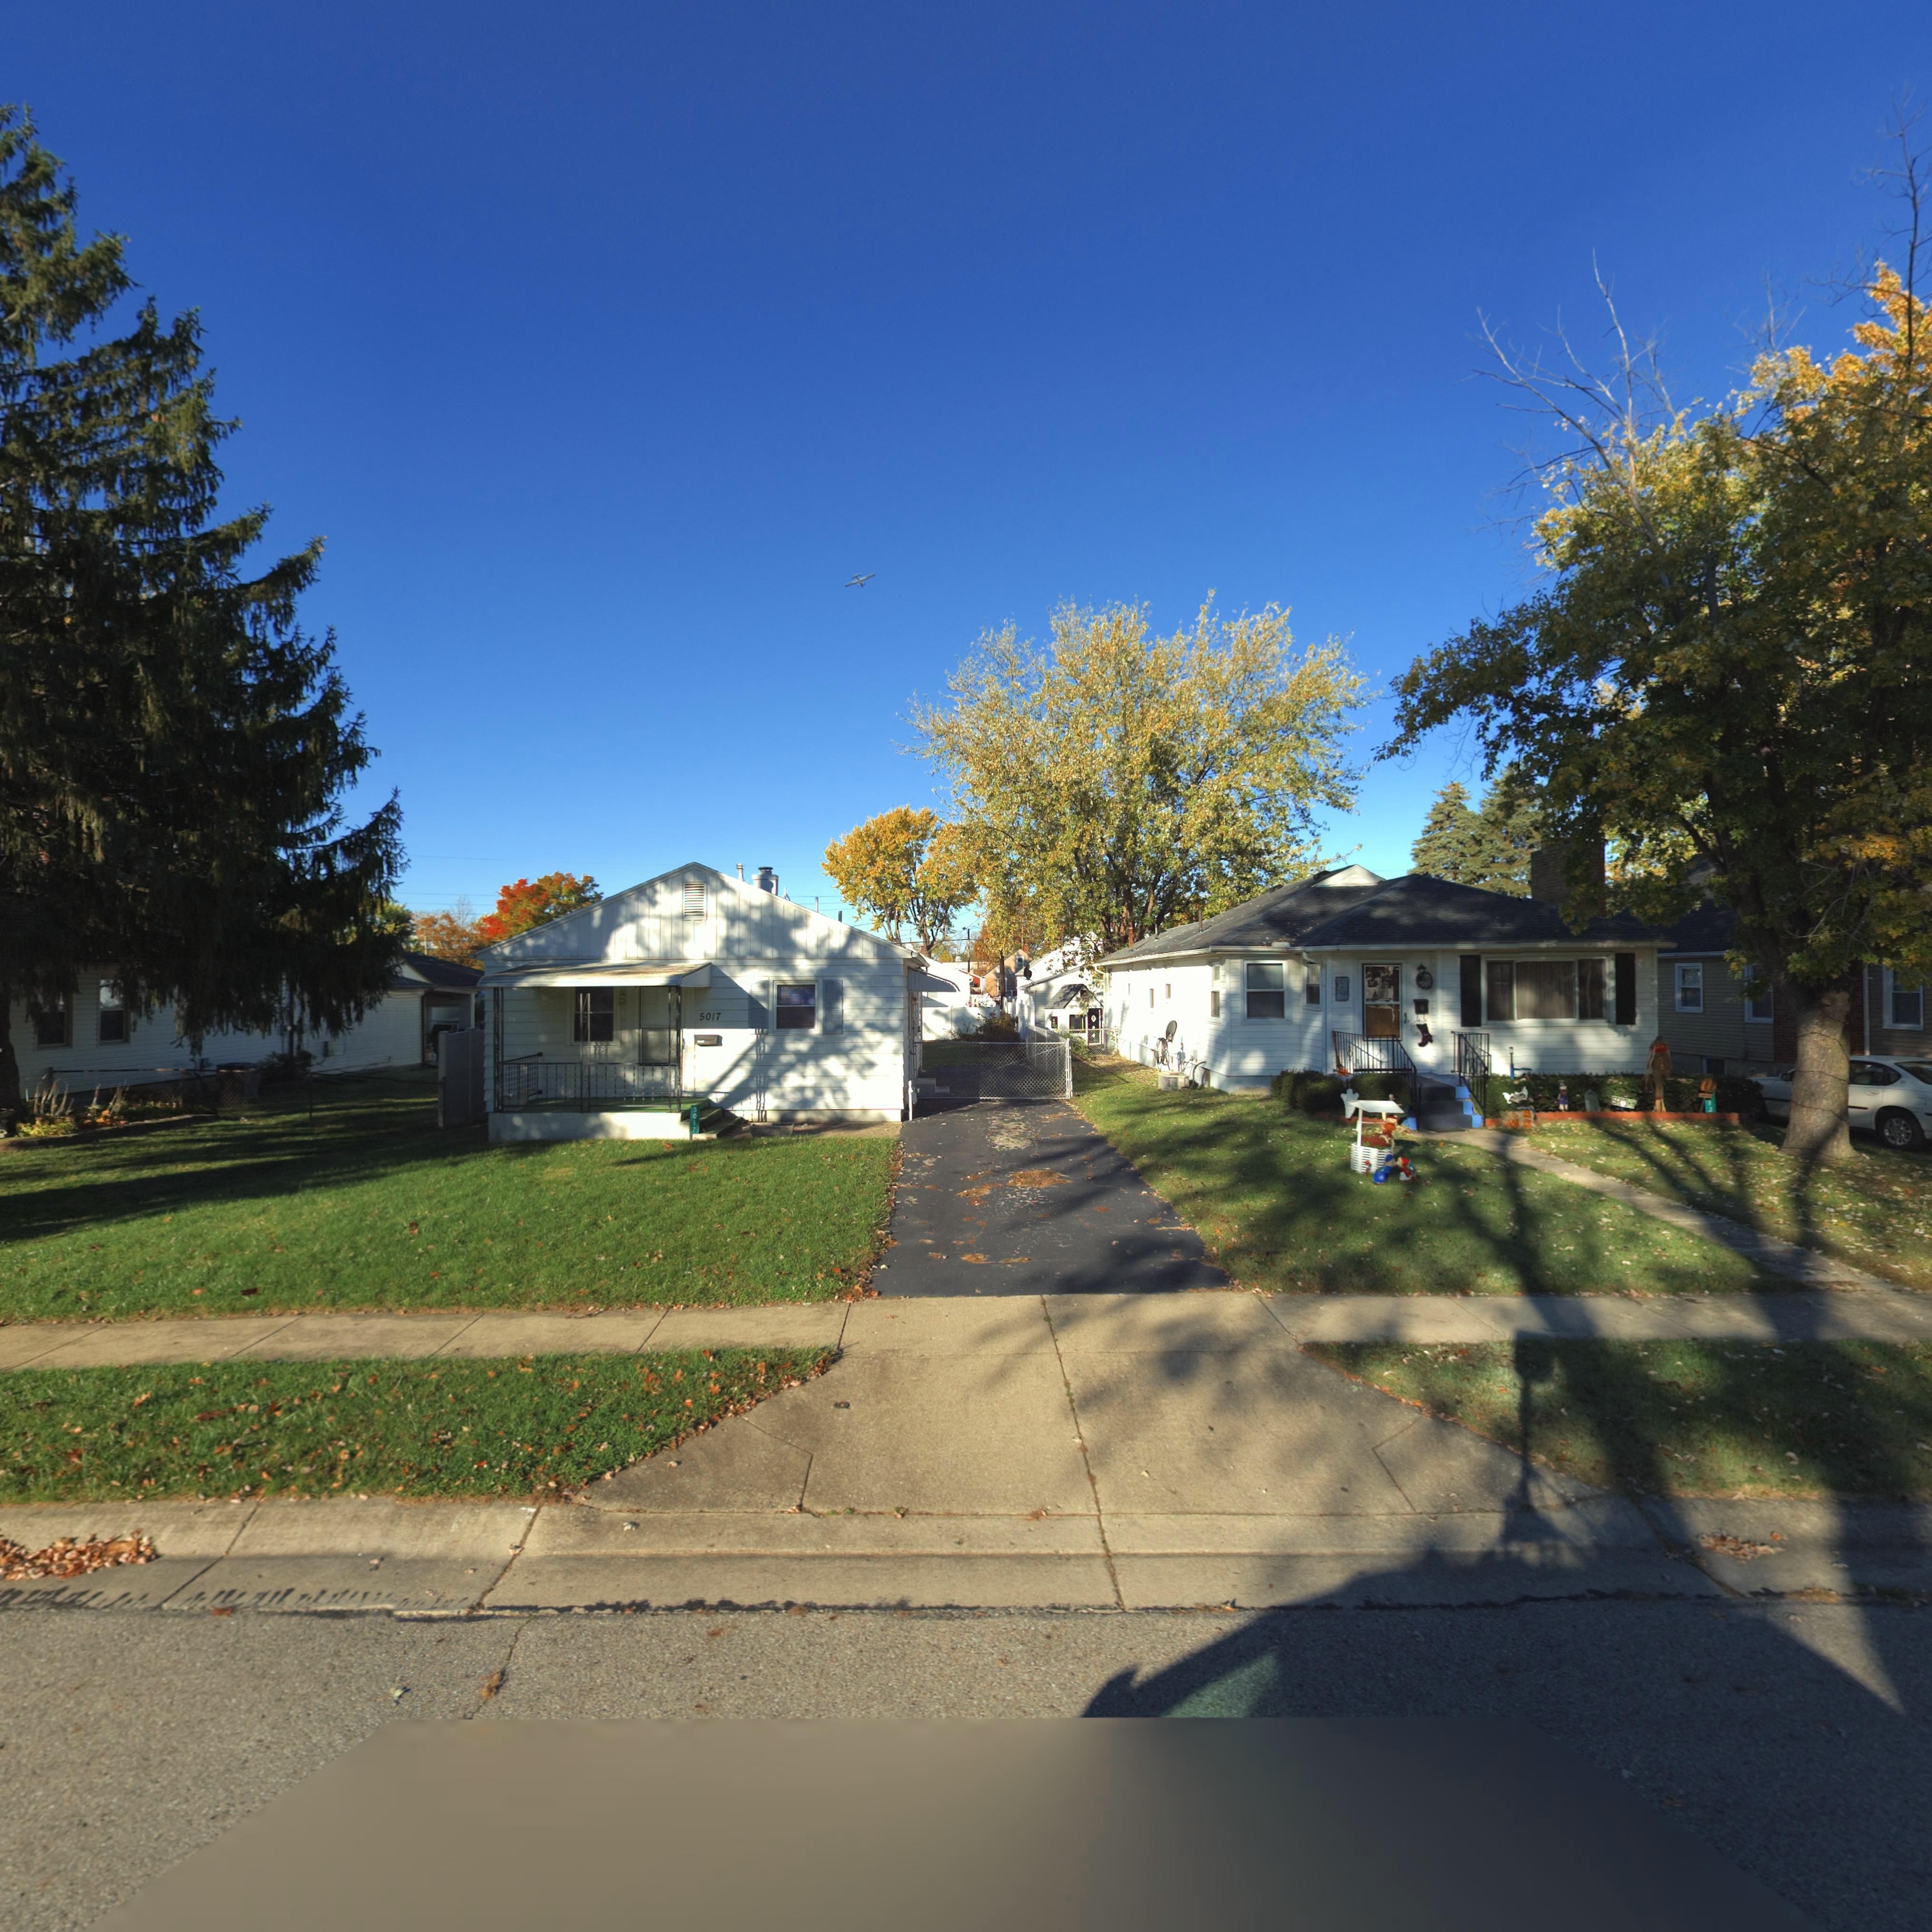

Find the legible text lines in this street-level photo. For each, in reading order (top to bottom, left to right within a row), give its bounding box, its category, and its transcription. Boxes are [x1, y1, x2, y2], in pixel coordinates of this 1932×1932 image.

[699, 1012, 722, 1021] StreetNumber: 5017
[1707, 1100, 1713, 1113] StreetNumber: 13
[692, 1106, 698, 1133] StreetNumber: 5017